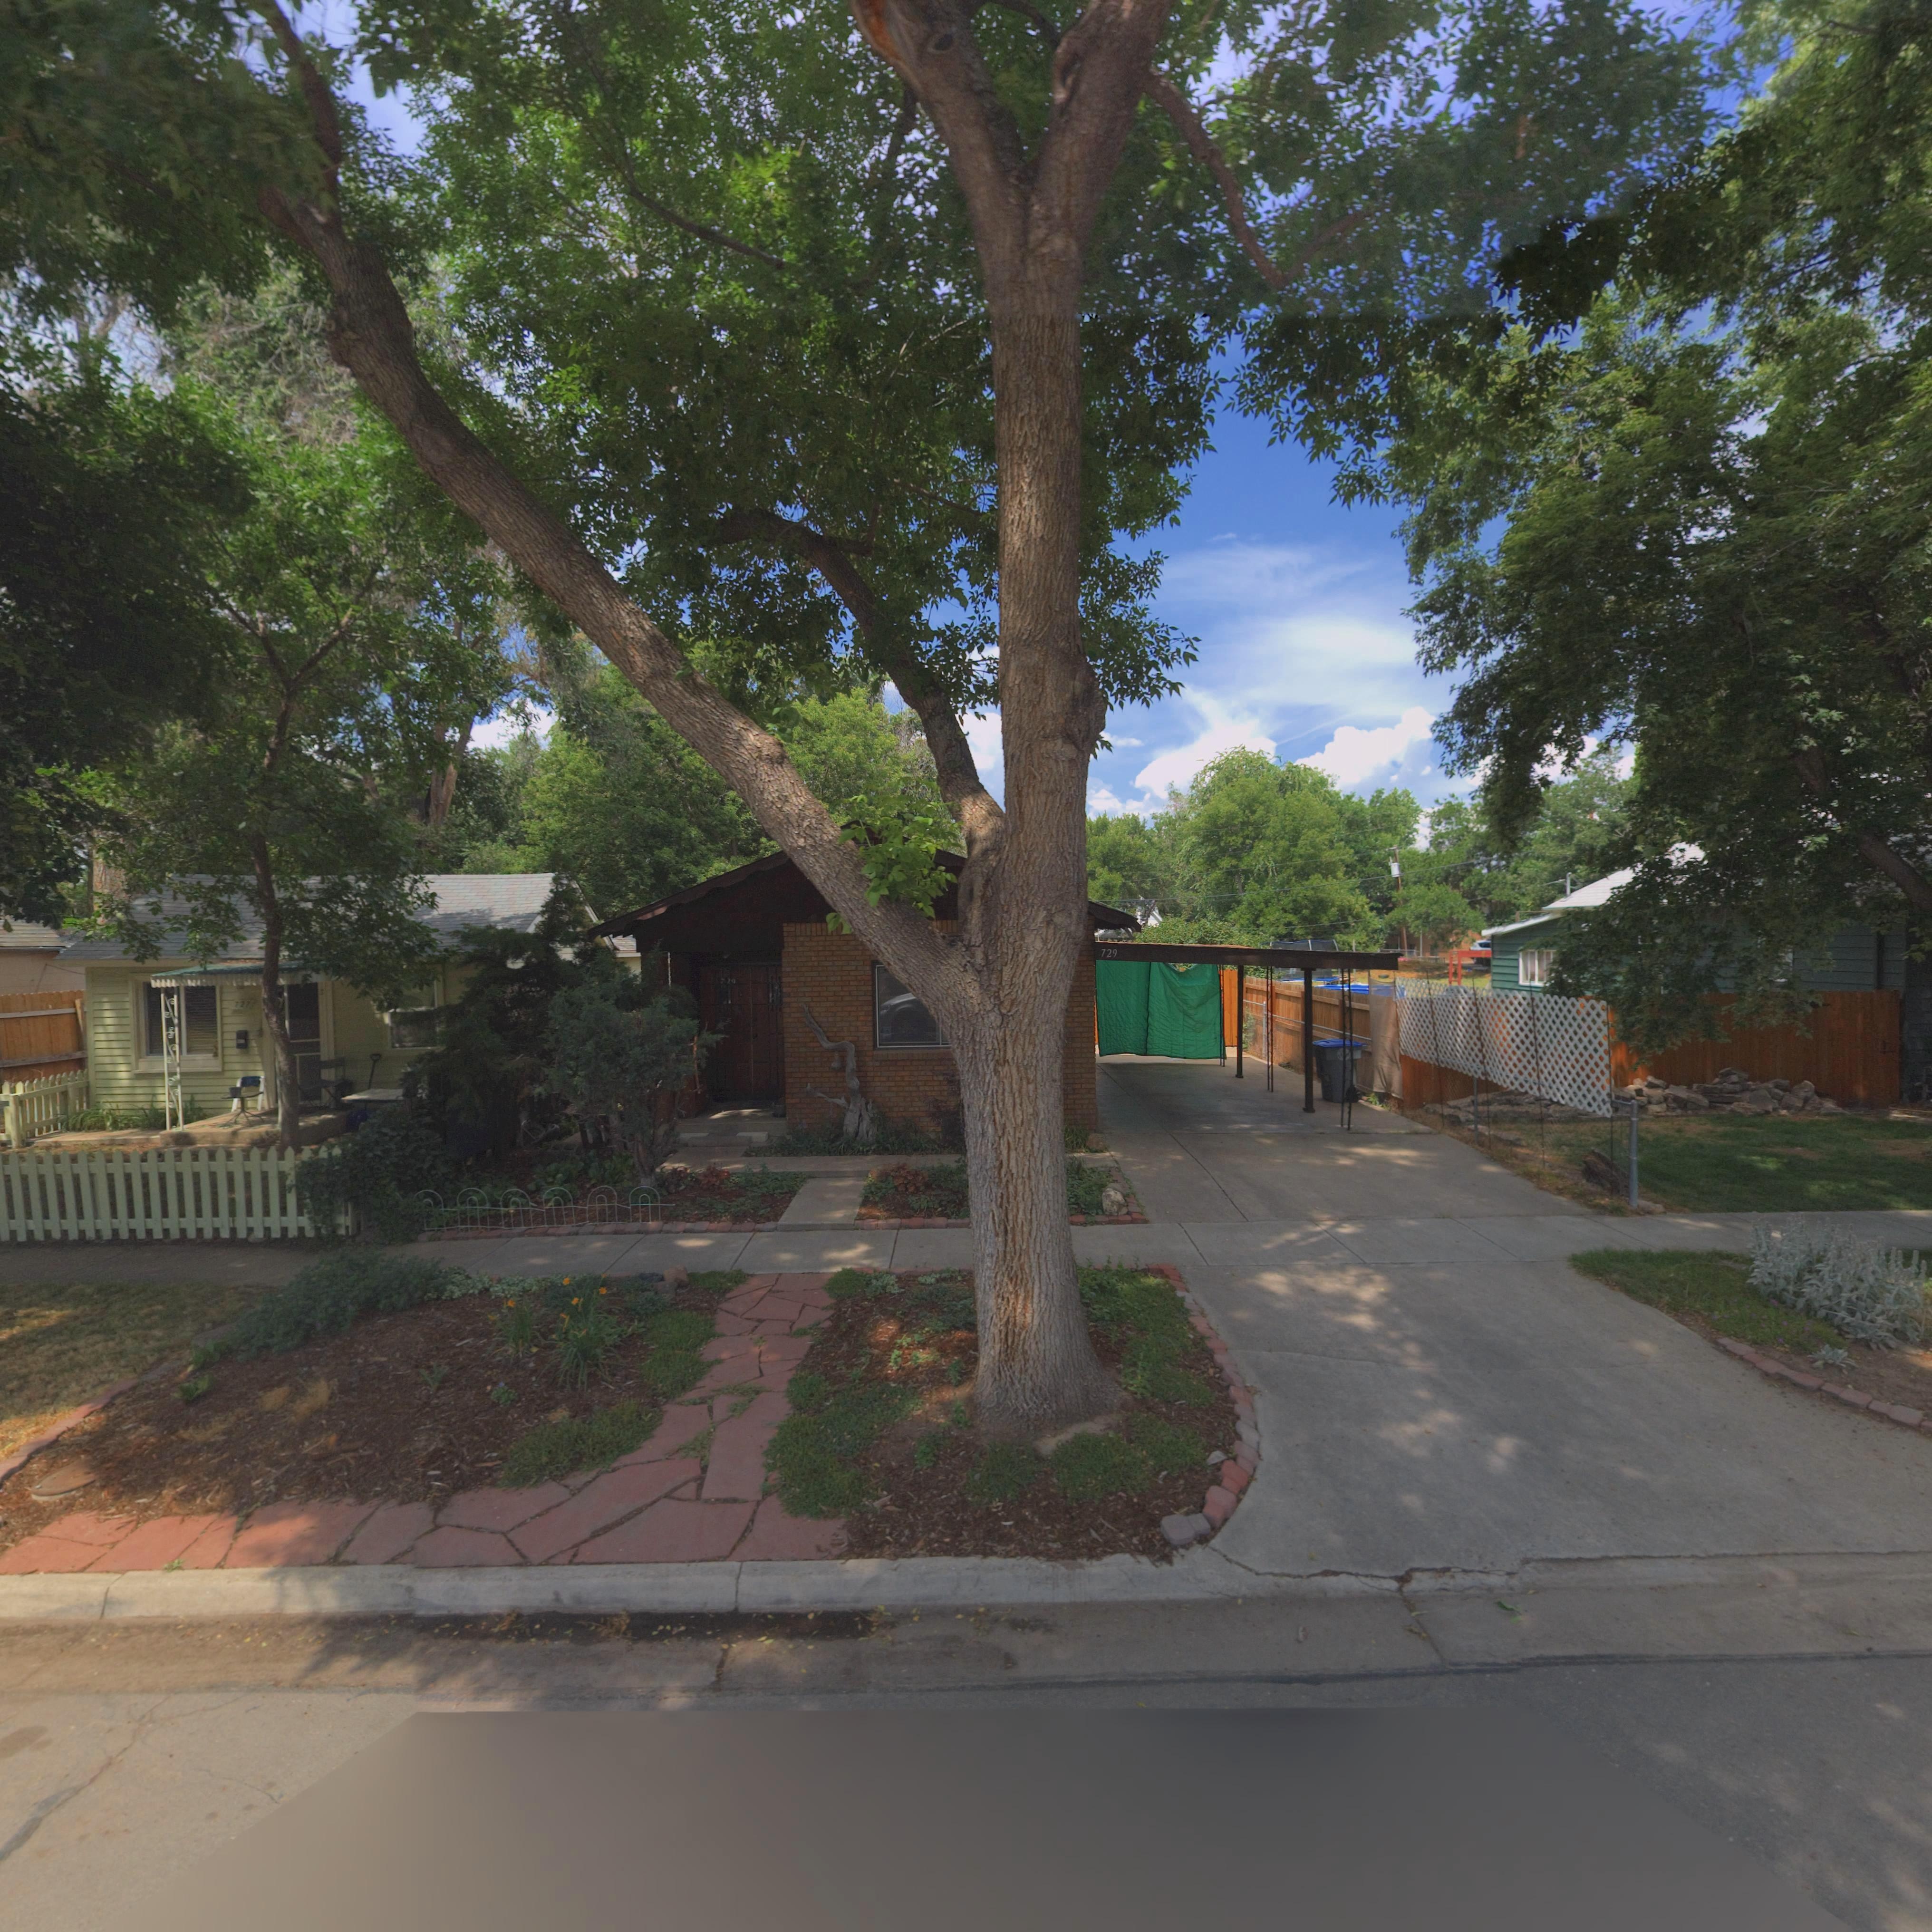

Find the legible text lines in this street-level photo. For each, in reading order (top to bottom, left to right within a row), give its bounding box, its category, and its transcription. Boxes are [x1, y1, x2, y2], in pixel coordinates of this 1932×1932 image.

[1101, 948, 1117, 958] StreetNumber: 729
[233, 1000, 251, 1008] StreetNumber: 727